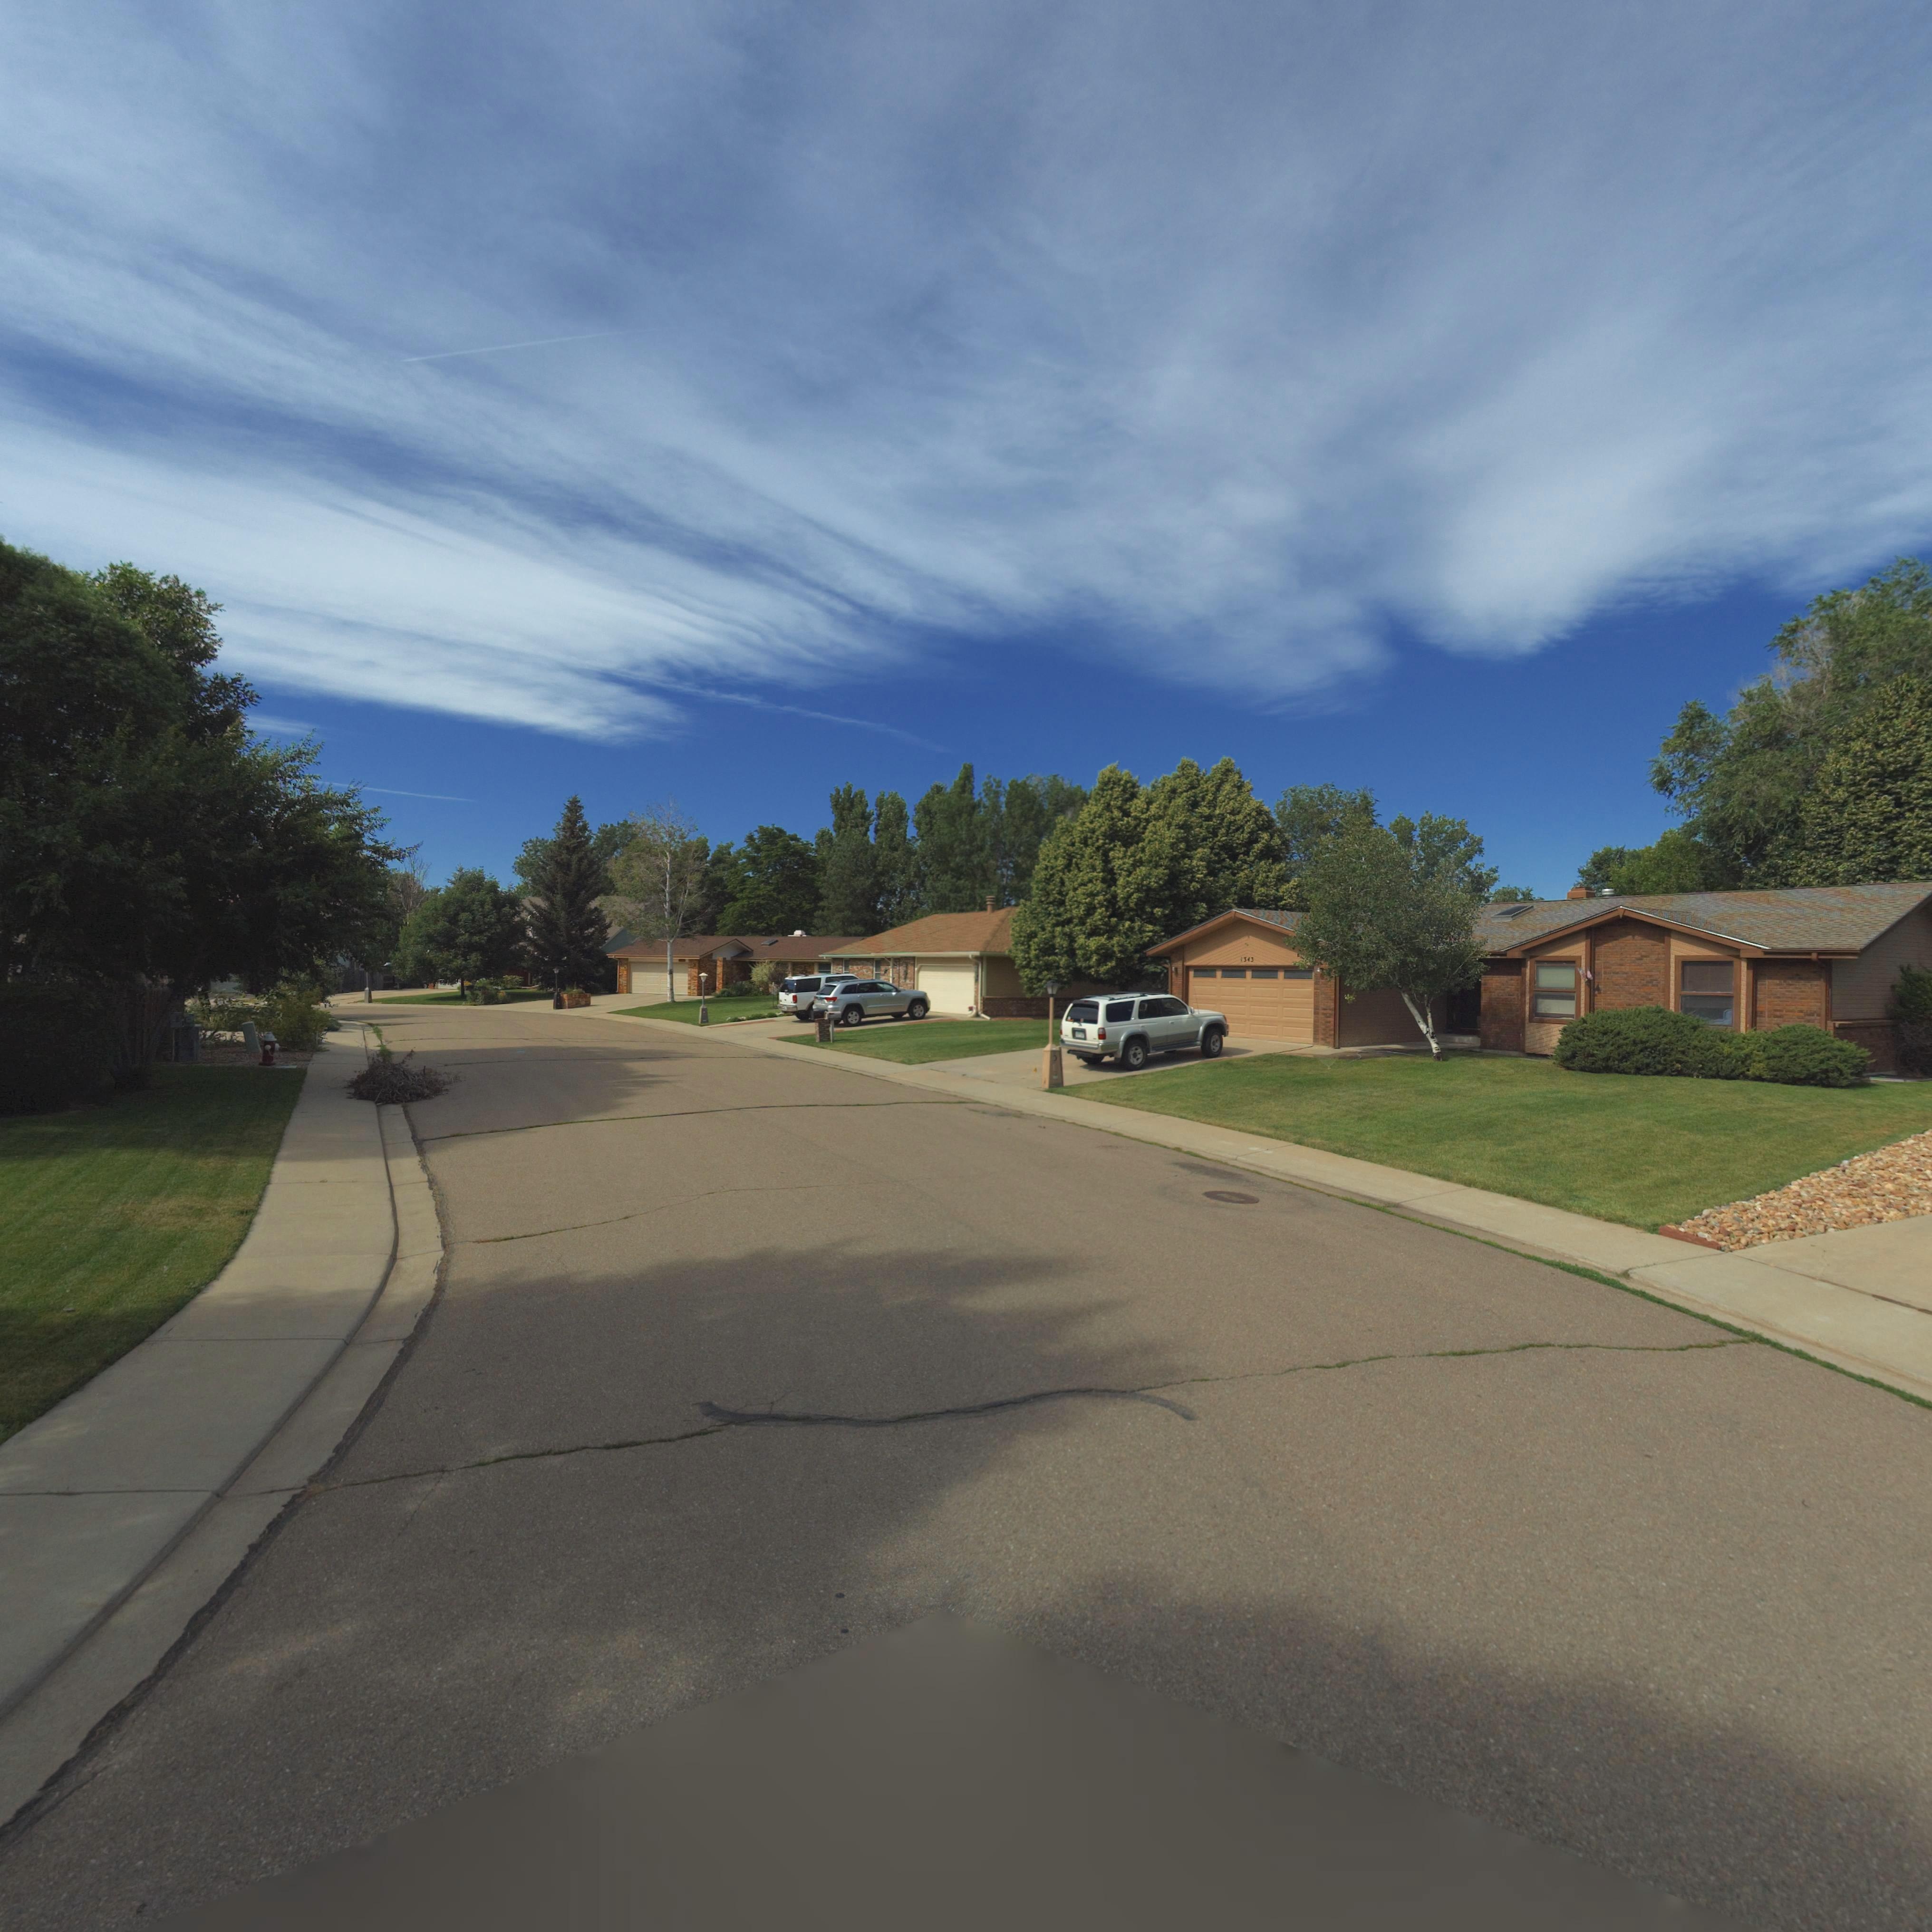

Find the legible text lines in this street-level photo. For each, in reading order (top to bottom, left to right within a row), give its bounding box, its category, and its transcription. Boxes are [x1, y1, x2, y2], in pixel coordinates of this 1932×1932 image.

[1240, 956, 1254, 962] StreetNumber: 1343